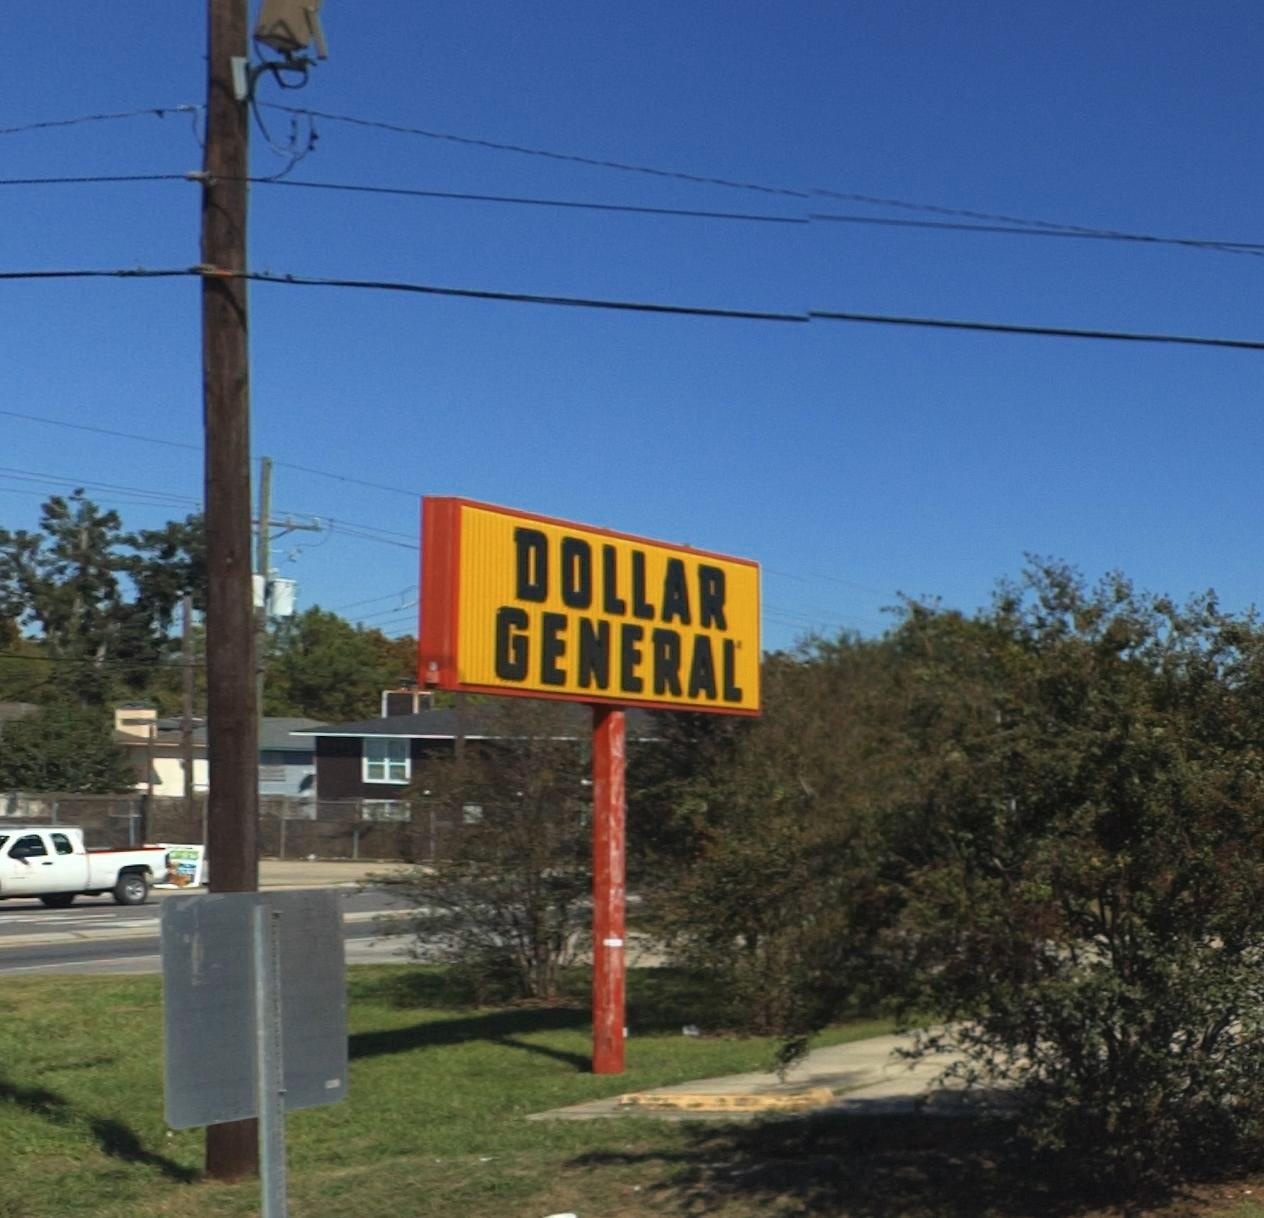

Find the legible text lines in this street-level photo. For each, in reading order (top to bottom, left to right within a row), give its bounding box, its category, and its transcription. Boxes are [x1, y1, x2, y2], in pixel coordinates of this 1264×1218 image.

[512, 523, 731, 633] BusinessName: DOLLAR
[493, 604, 744, 705] BusinessName: GENERAL